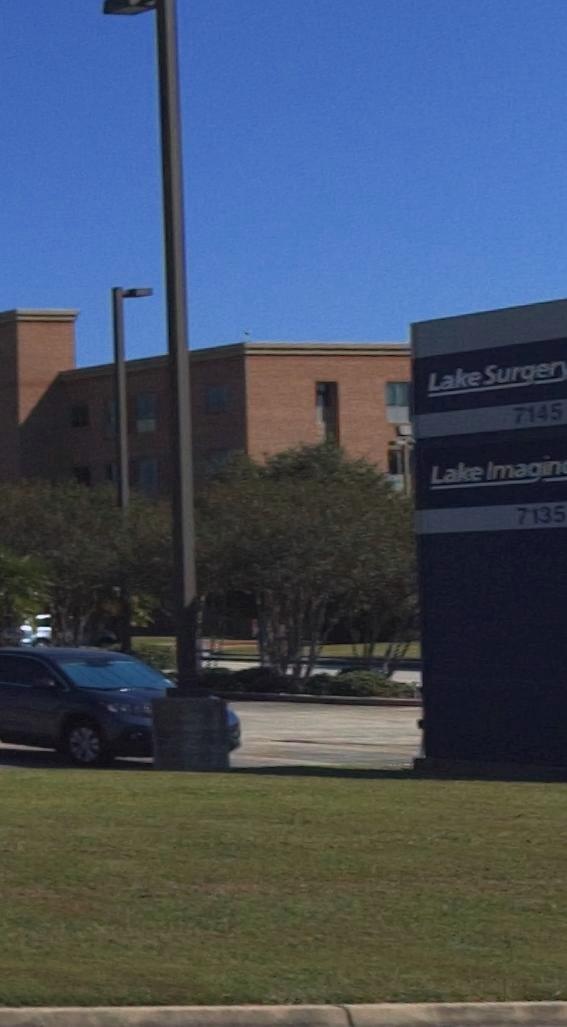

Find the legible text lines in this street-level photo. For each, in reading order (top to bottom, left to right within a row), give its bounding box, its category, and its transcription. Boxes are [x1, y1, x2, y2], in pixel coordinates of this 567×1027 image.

[425, 359, 567, 395] BusinessName: Lake Surger
[510, 399, 565, 427] StreetNumber: 7145
[429, 452, 564, 487] BusinessName: Lake Imagin
[514, 502, 567, 526] StreetNumber: 7135